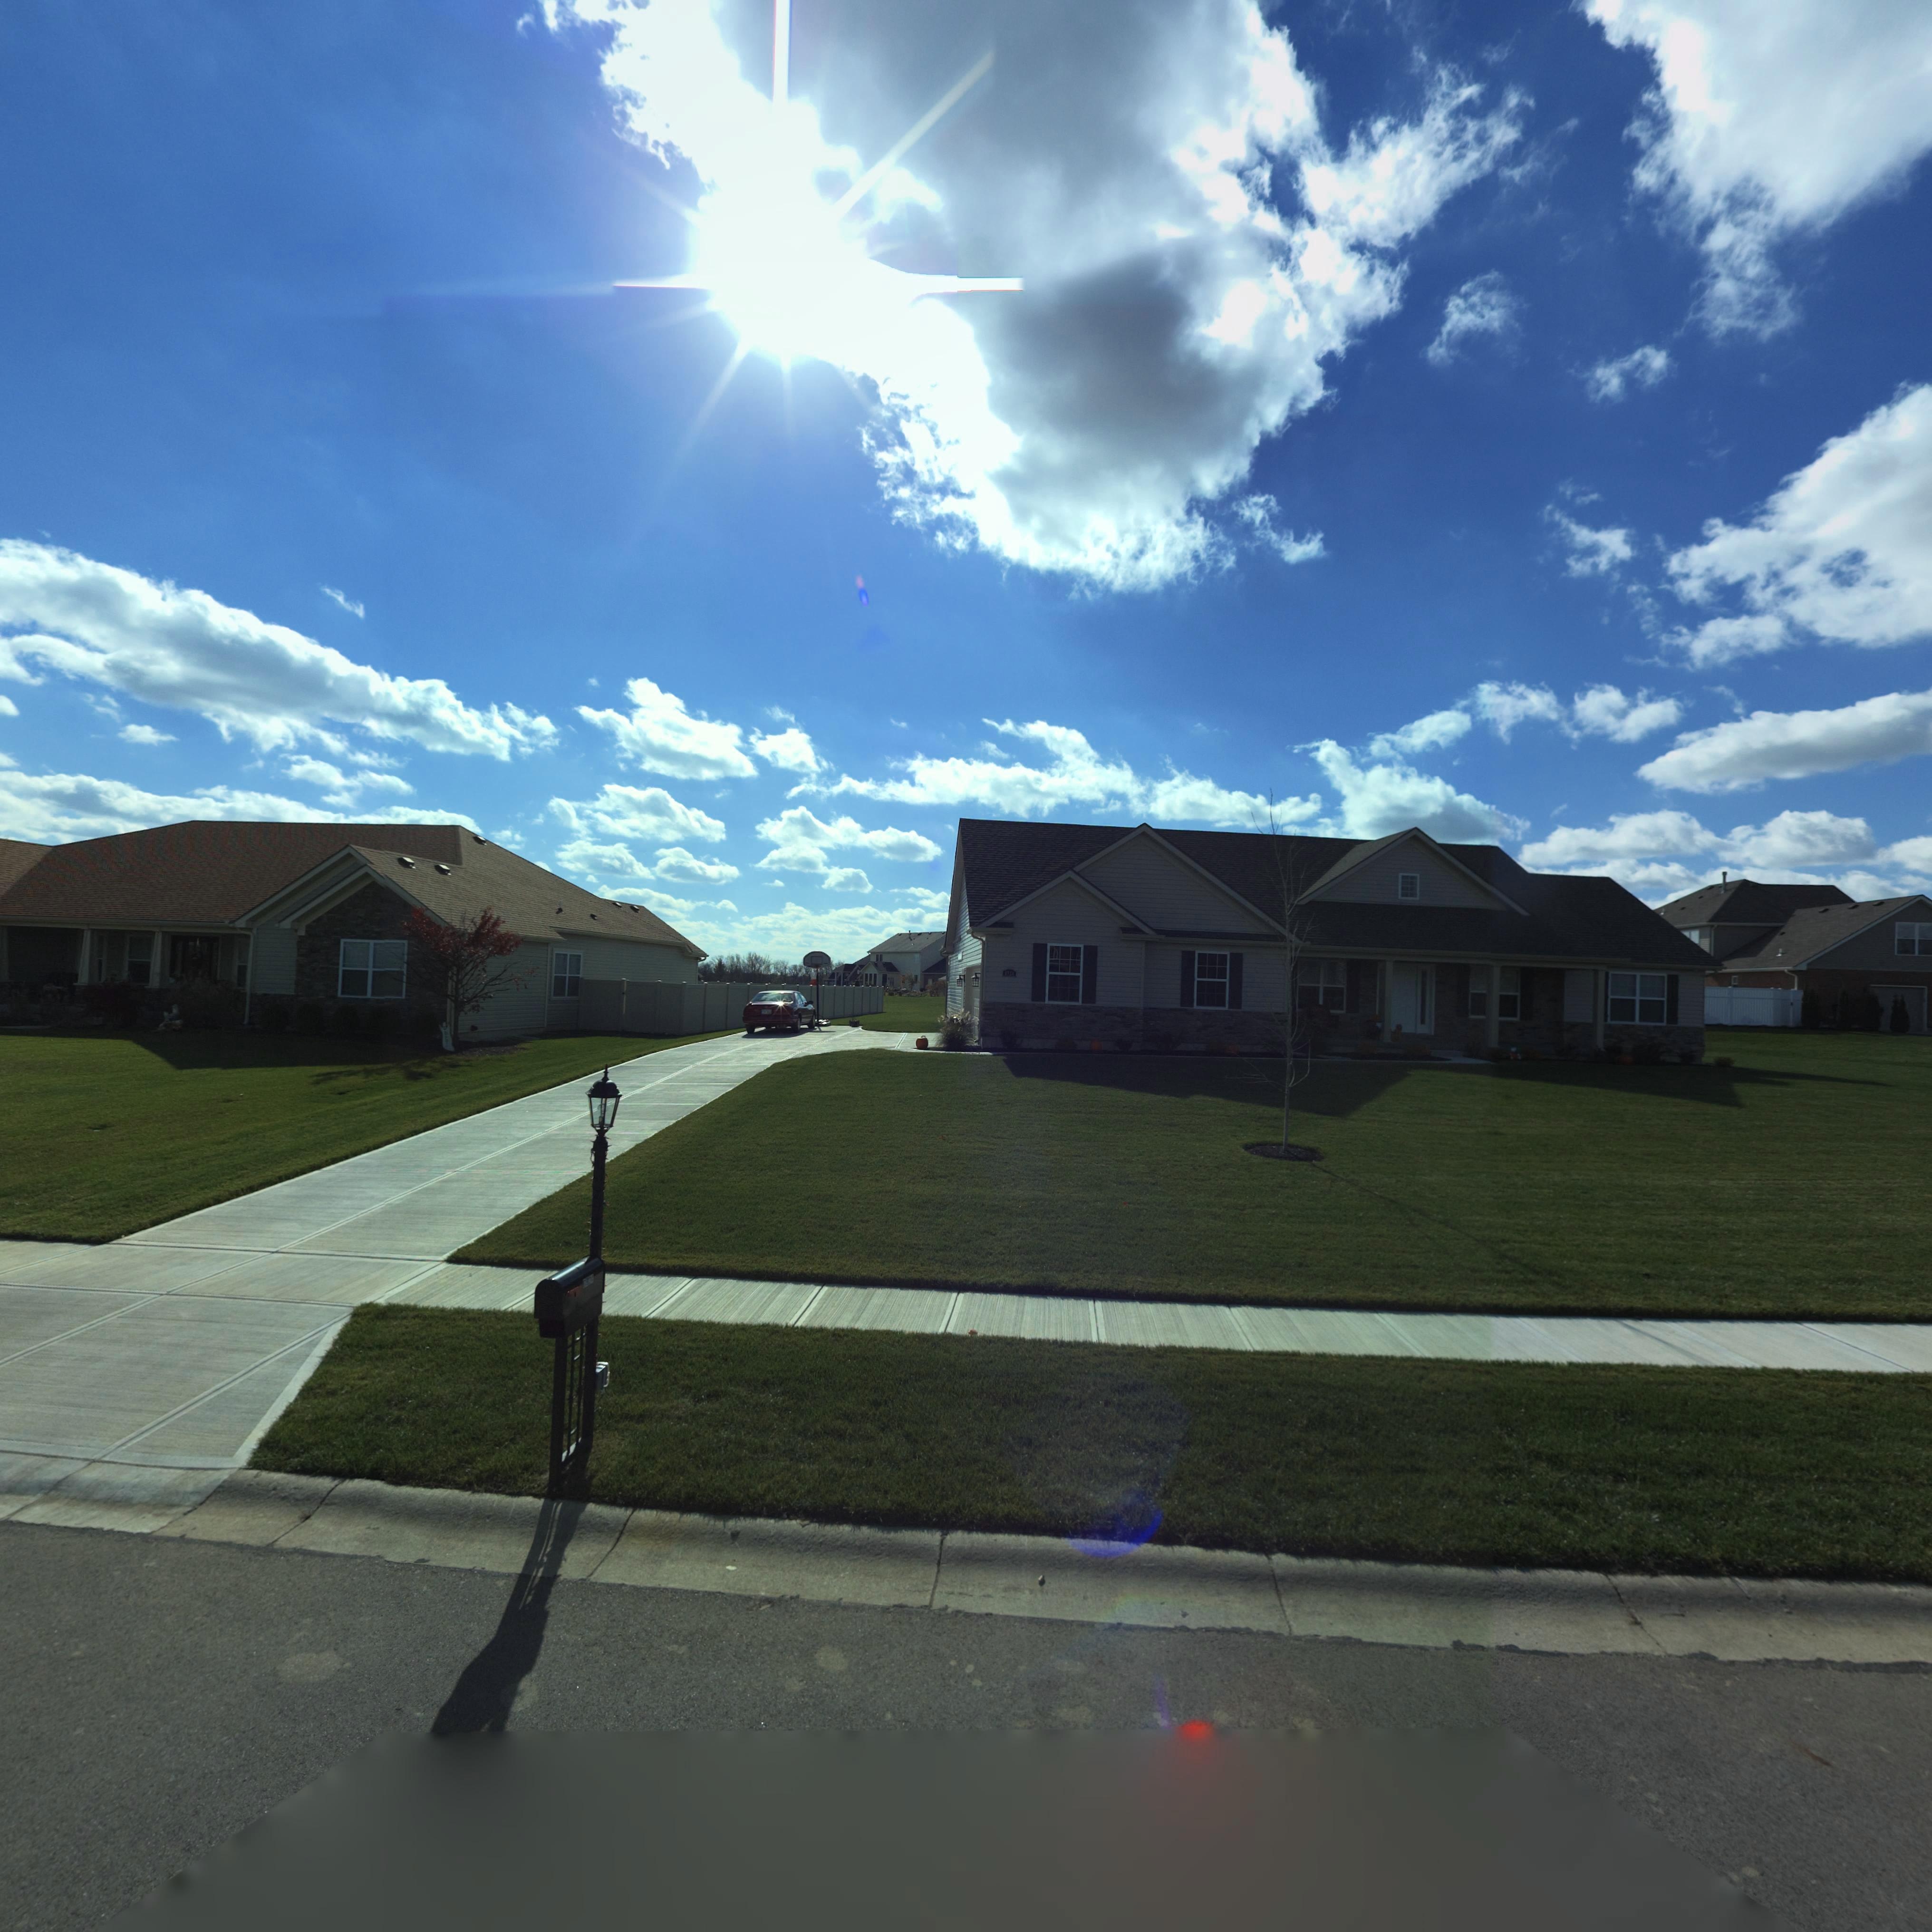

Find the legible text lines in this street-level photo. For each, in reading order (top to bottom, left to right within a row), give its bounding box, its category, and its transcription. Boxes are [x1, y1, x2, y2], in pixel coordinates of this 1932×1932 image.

[1004, 970, 1014, 976] StreetNumber: *92*
[583, 1274, 594, 1288] StreetNumber: 69**